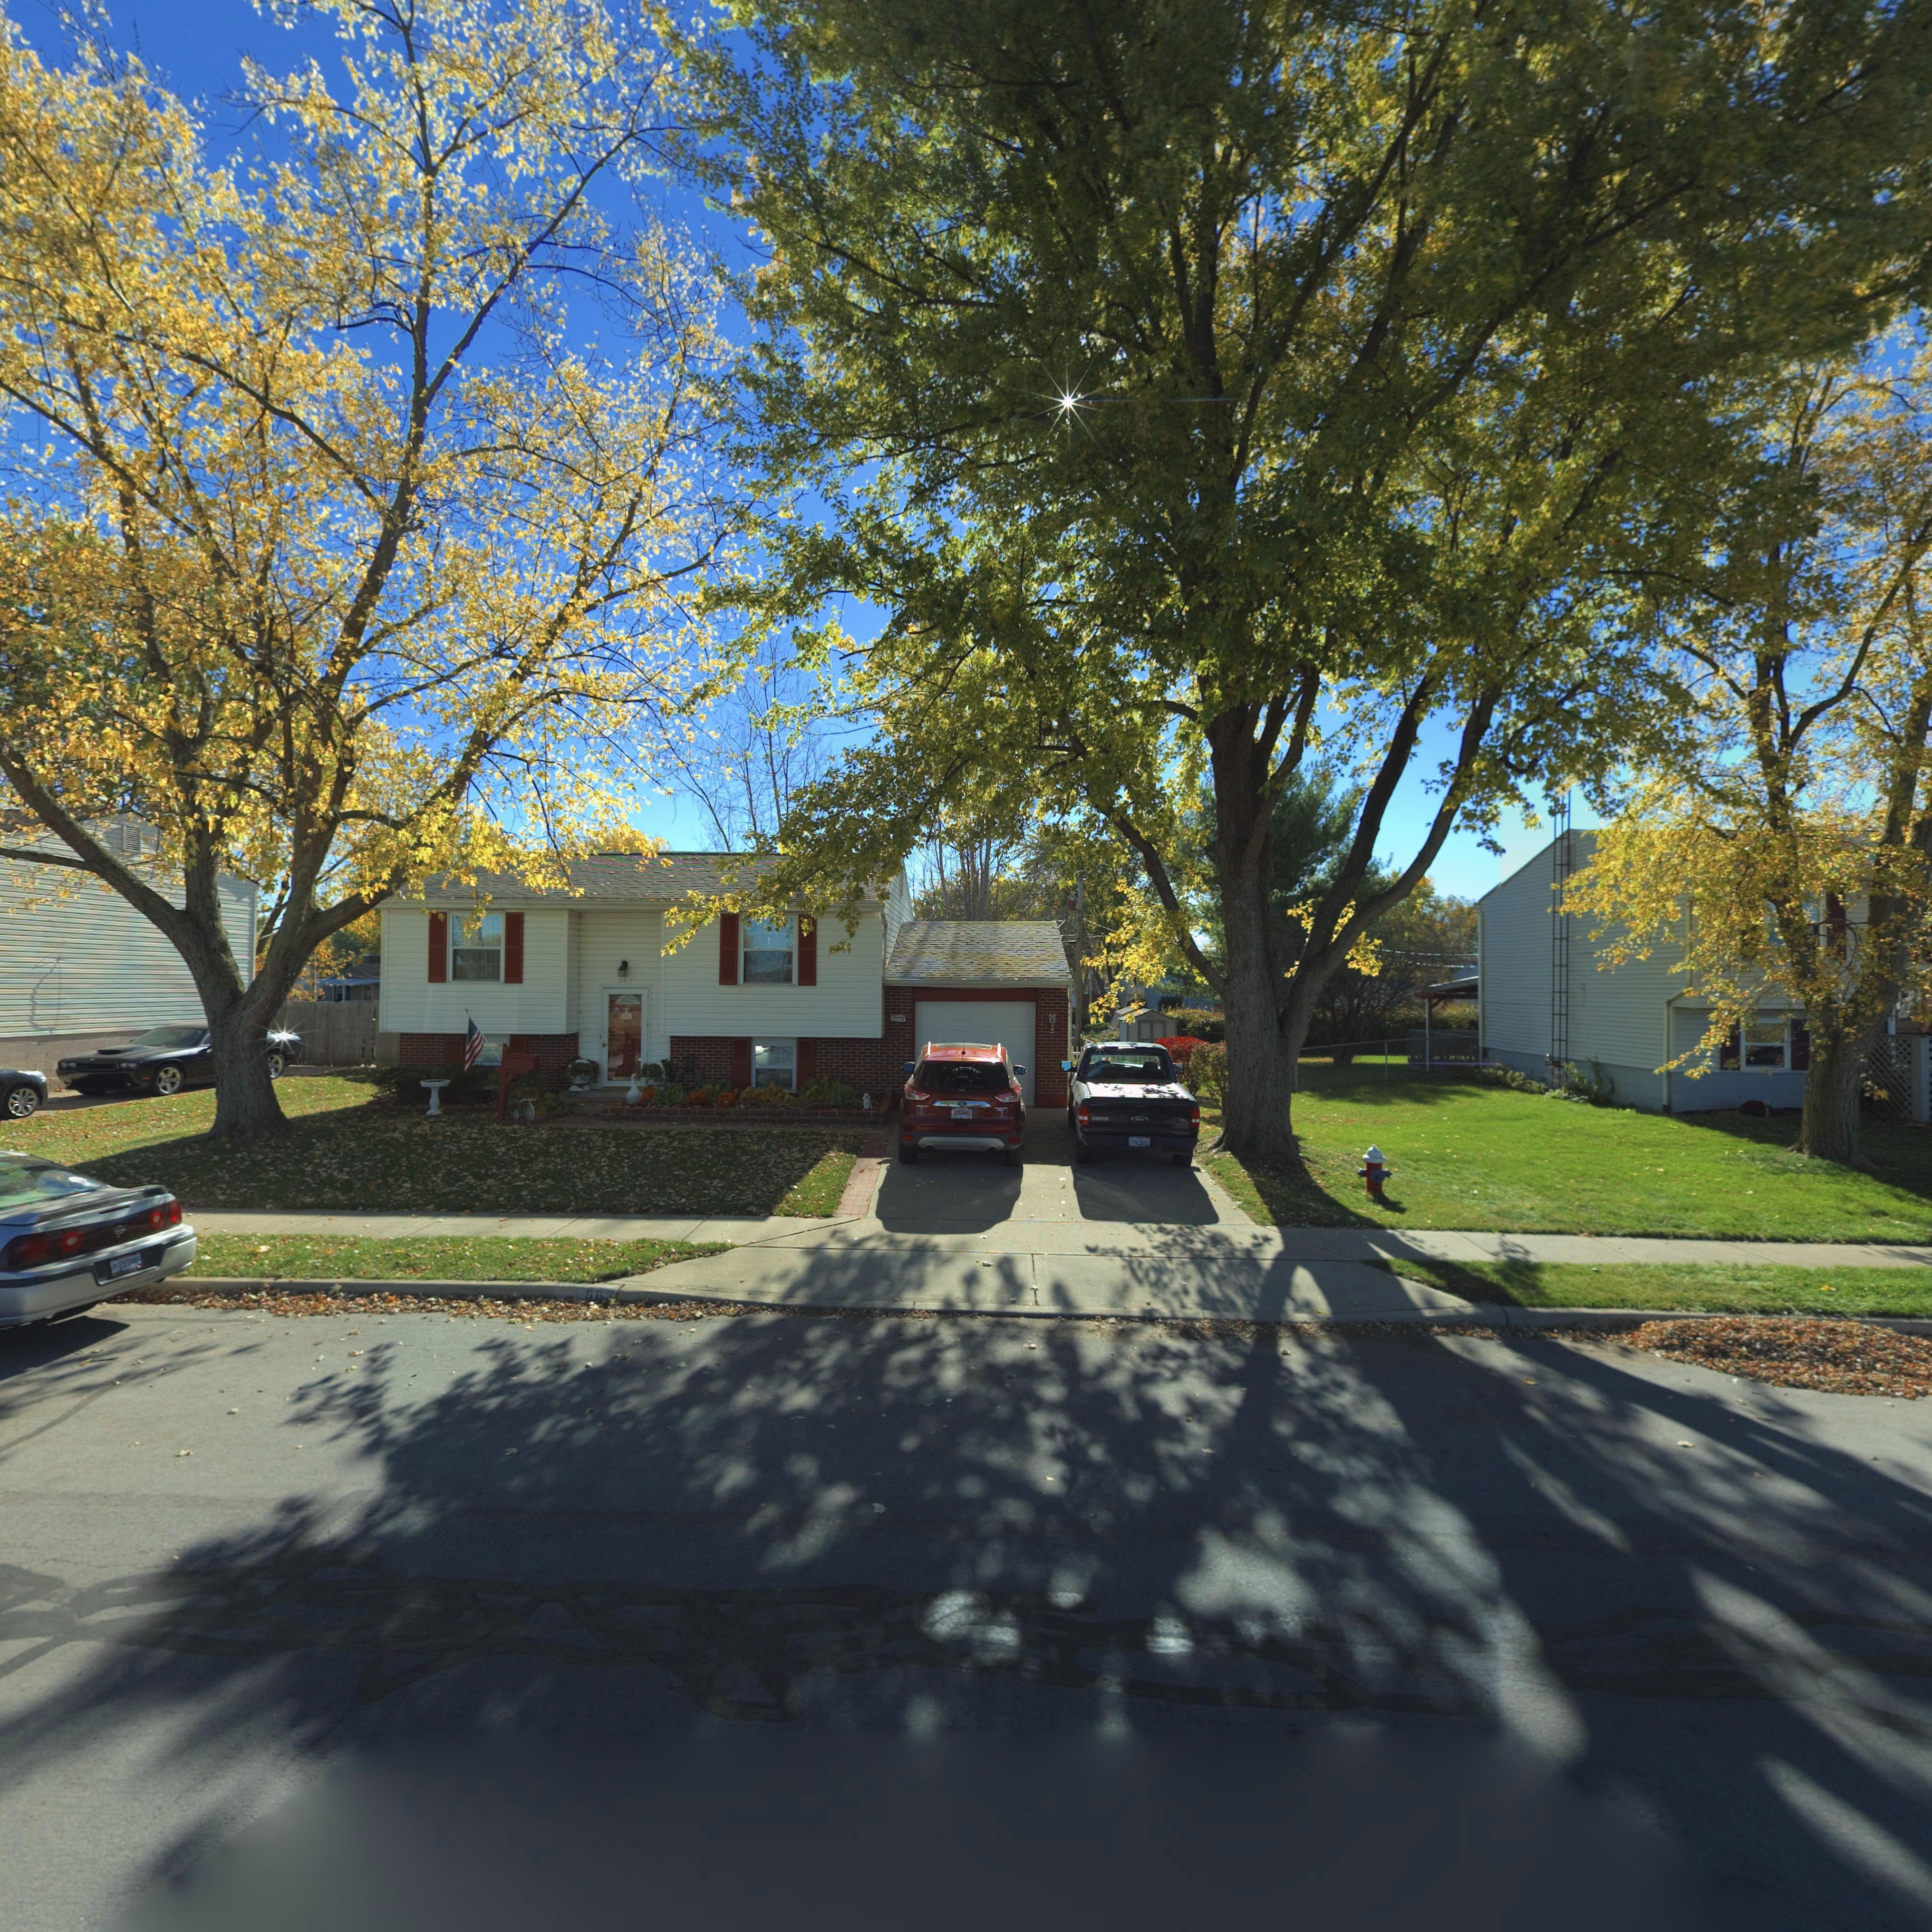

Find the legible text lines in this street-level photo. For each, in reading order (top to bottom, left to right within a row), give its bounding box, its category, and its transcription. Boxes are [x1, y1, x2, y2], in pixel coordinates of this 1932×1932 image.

[618, 977, 633, 984] StreetNumber: 663
[1129, 1139, 1149, 1146] None: F** ****
[584, 1288, 607, 1303] StreetNumber: 6*